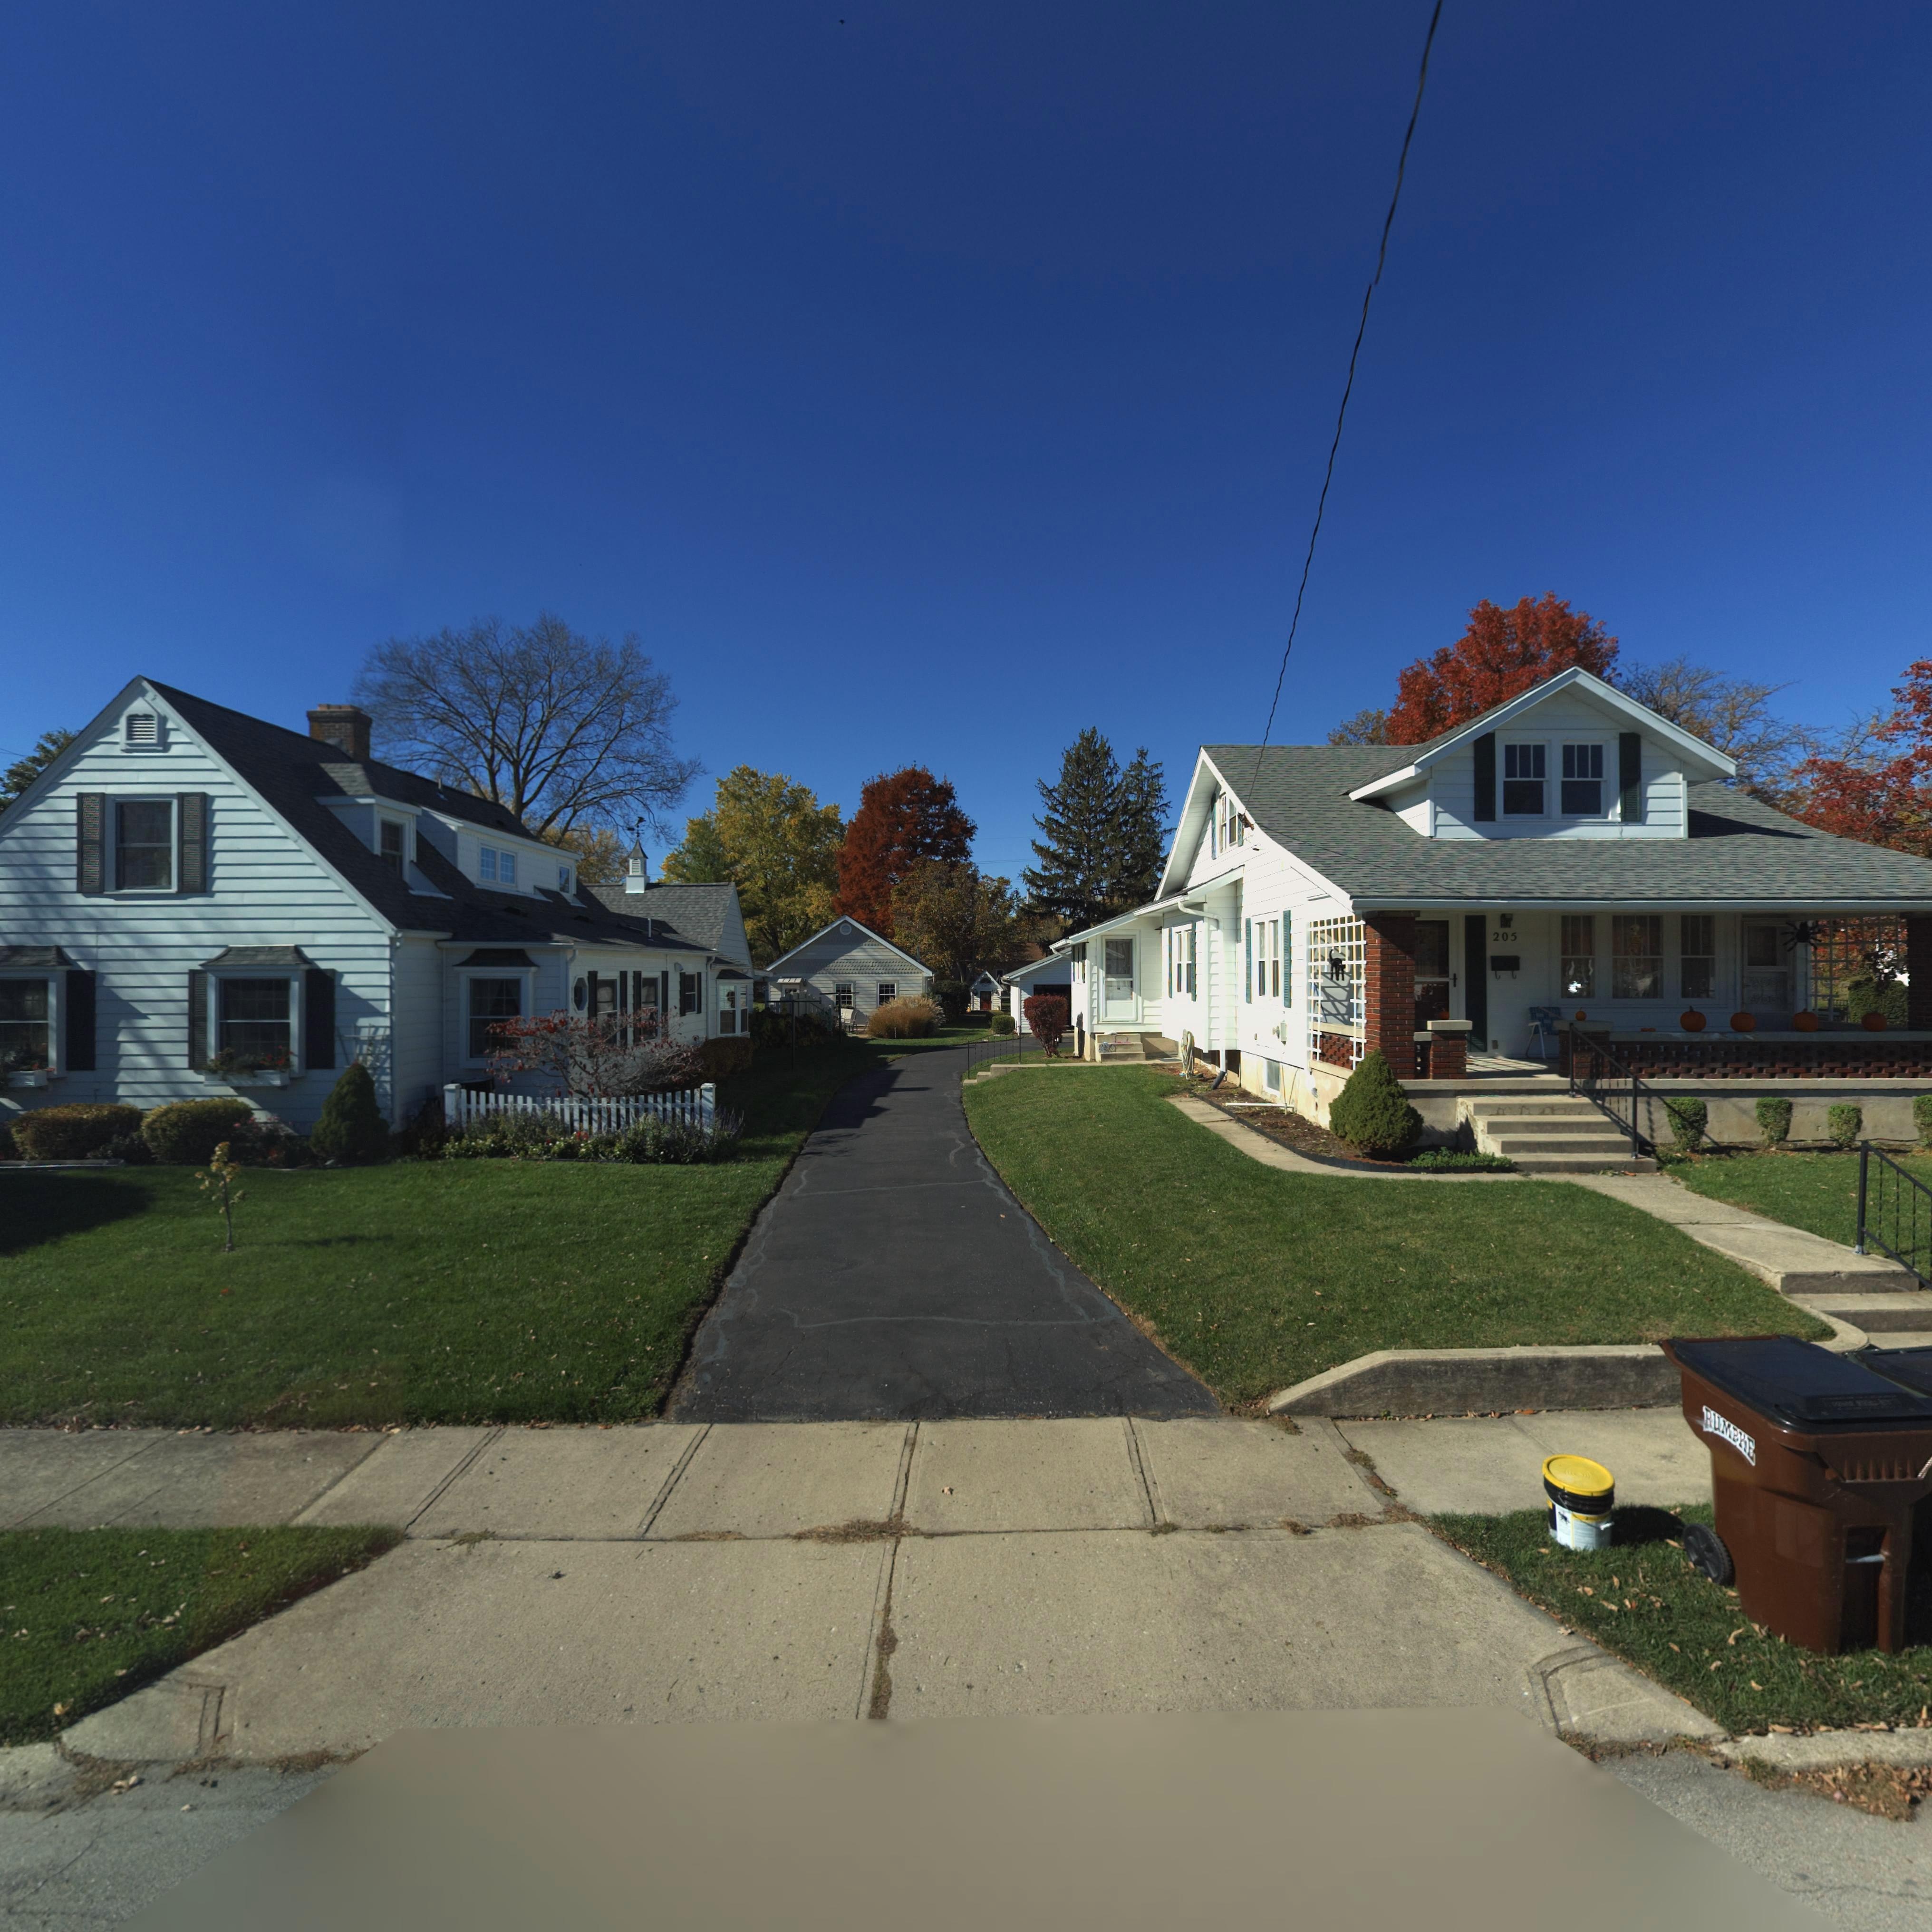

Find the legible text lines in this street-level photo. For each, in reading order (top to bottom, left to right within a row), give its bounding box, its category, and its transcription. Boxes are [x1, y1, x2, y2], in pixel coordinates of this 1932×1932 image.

[1493, 931, 1517, 942] StreetNumber: 205
[1702, 1402, 1757, 1469] None: RUMPKE